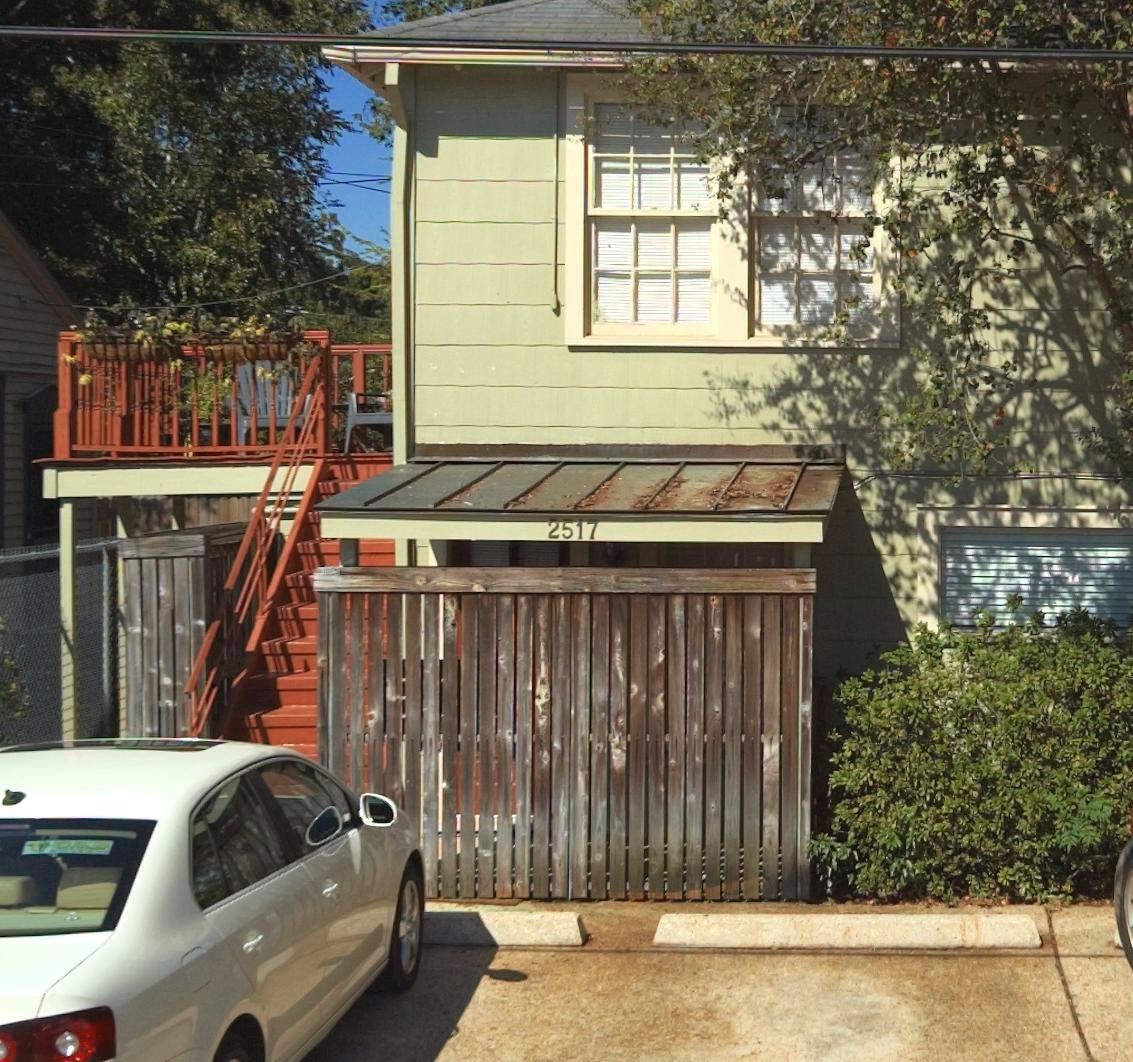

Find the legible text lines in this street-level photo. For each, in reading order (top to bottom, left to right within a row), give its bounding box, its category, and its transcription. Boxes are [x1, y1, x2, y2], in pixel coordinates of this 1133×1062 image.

[546, 517, 602, 541] StreetNumber: 2517